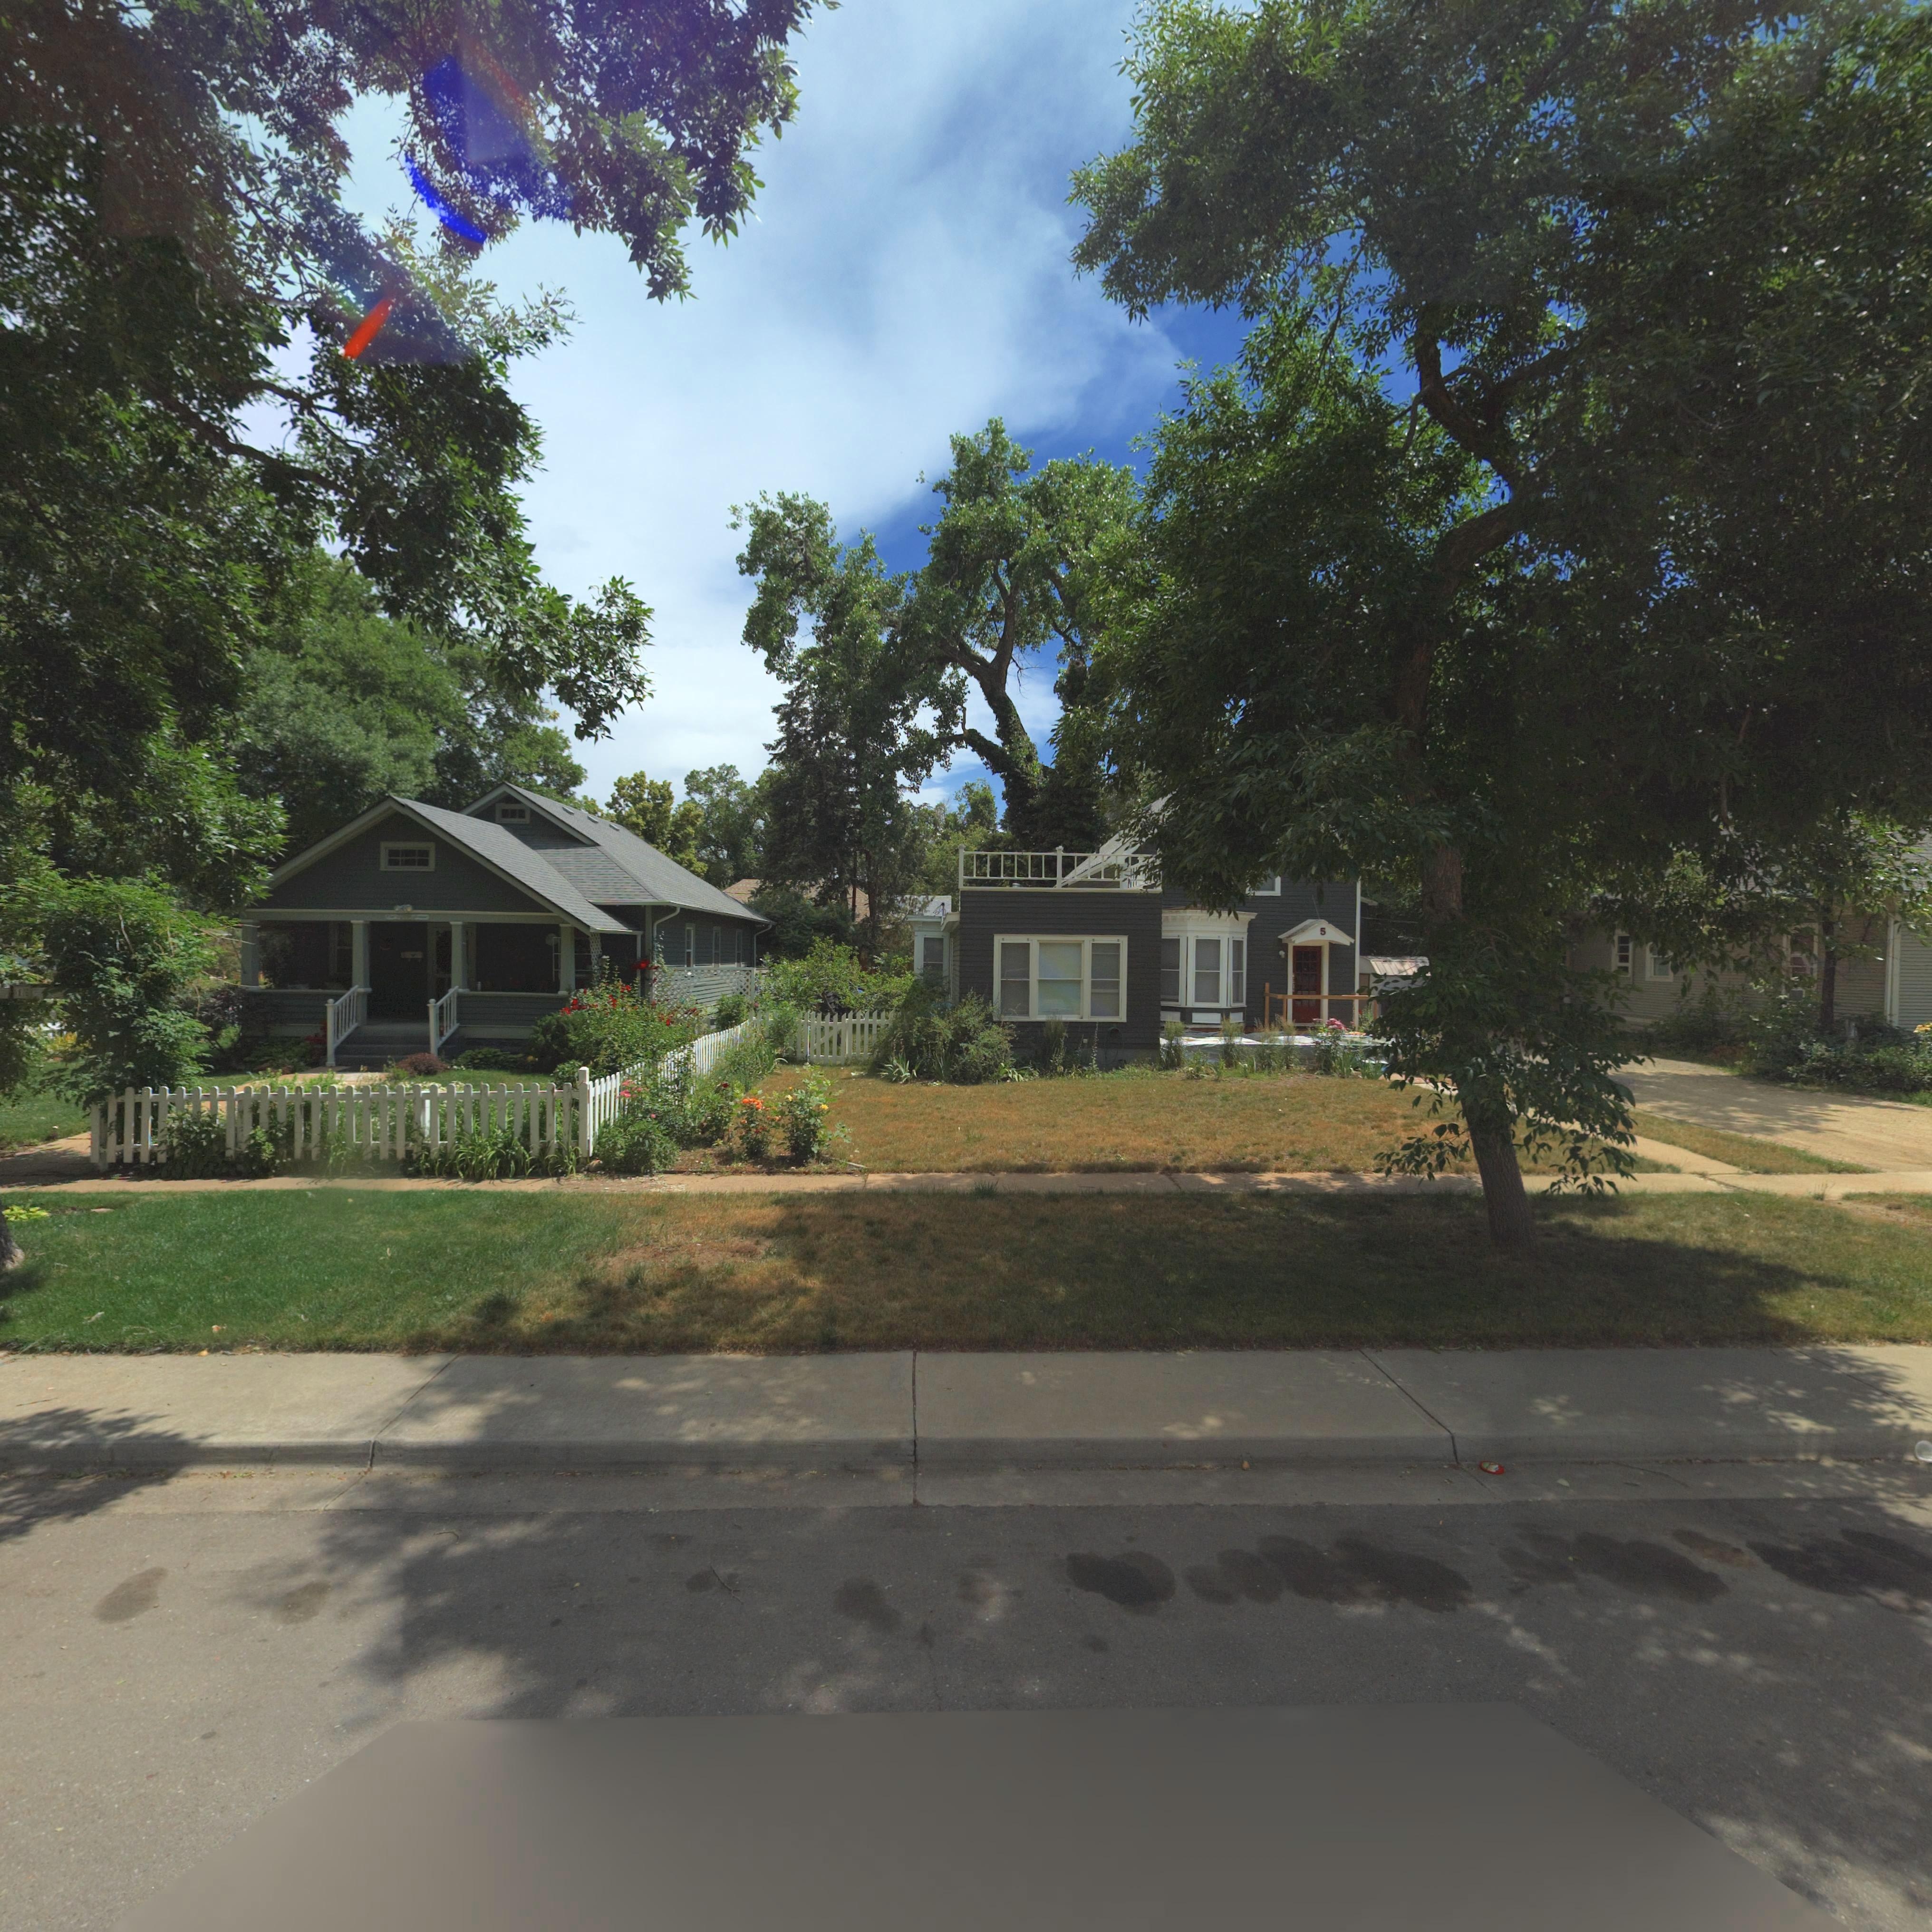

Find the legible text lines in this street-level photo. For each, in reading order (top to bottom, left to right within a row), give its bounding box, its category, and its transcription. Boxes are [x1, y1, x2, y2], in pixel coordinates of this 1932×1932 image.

[1320, 927, 1325, 935] StreetNumber: 5